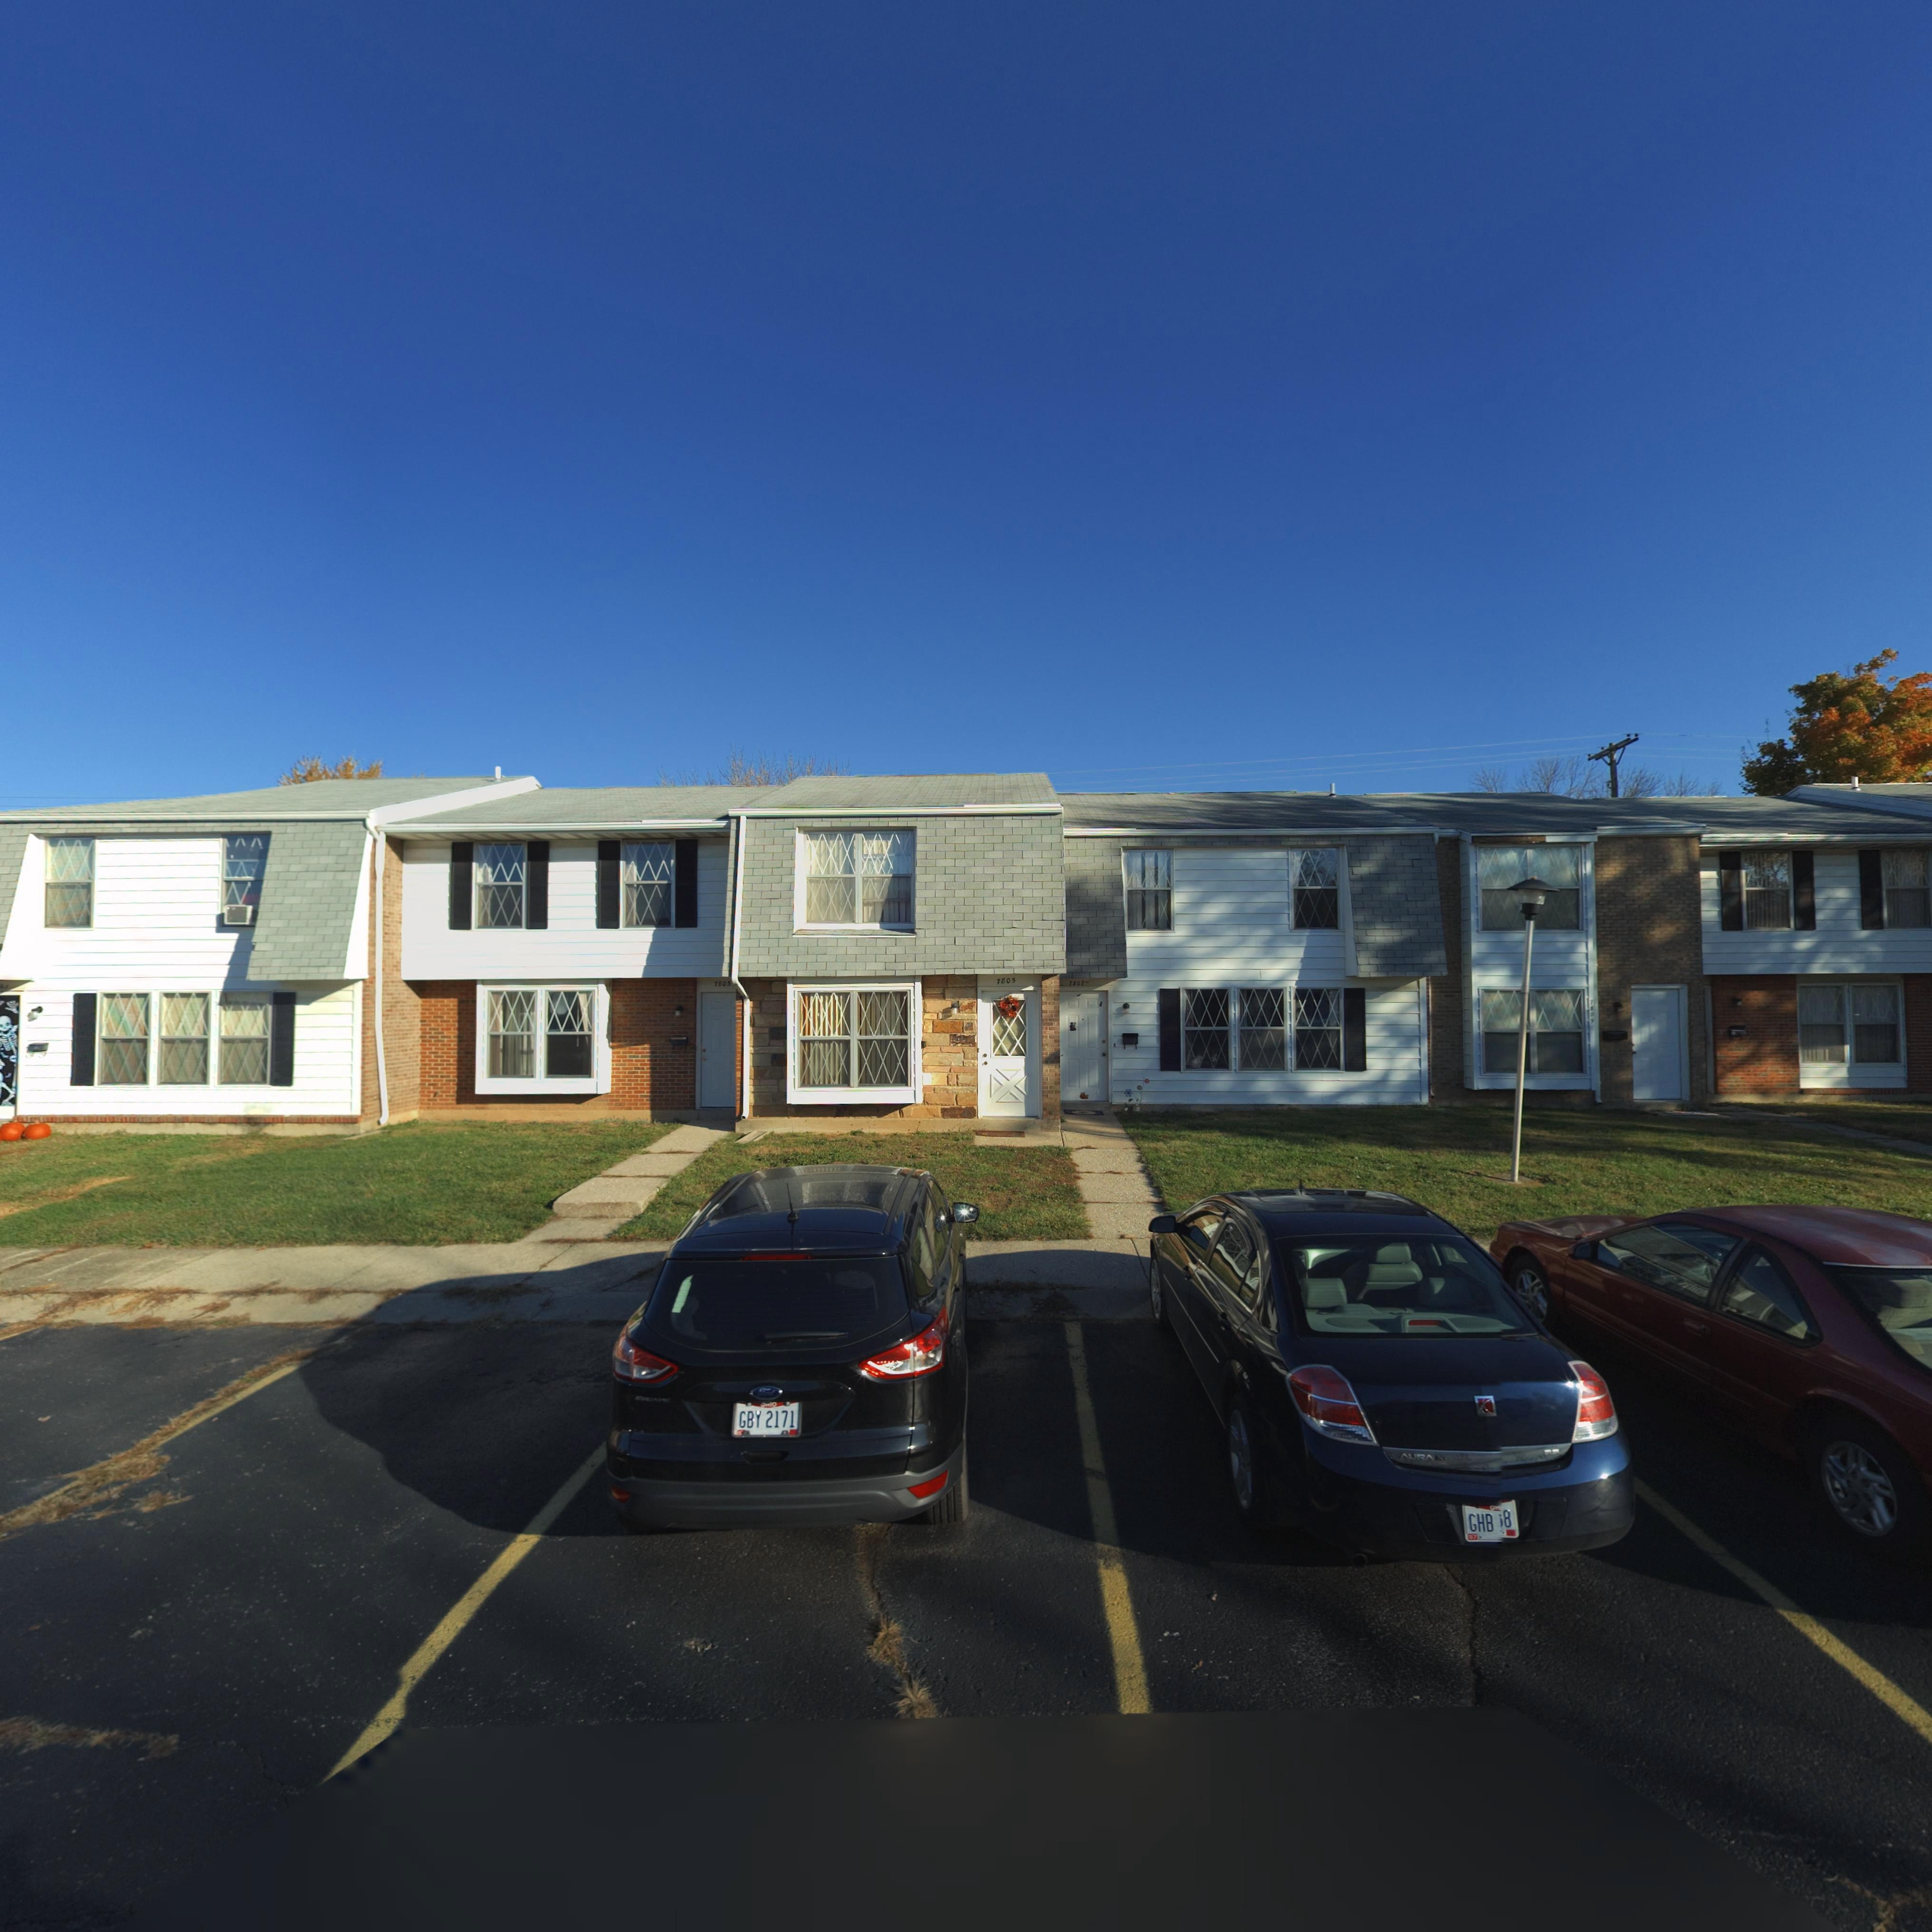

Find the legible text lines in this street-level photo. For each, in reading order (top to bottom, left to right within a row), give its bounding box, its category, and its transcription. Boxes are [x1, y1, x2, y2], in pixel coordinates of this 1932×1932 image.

[714, 980, 732, 987] StreetNumber: 7803
[995, 976, 1016, 985] StreetNumber: 7805
[1068, 980, 1085, 986] StreetNumber: 7807
[1589, 999, 1594, 1024] StreetNumber: 7809